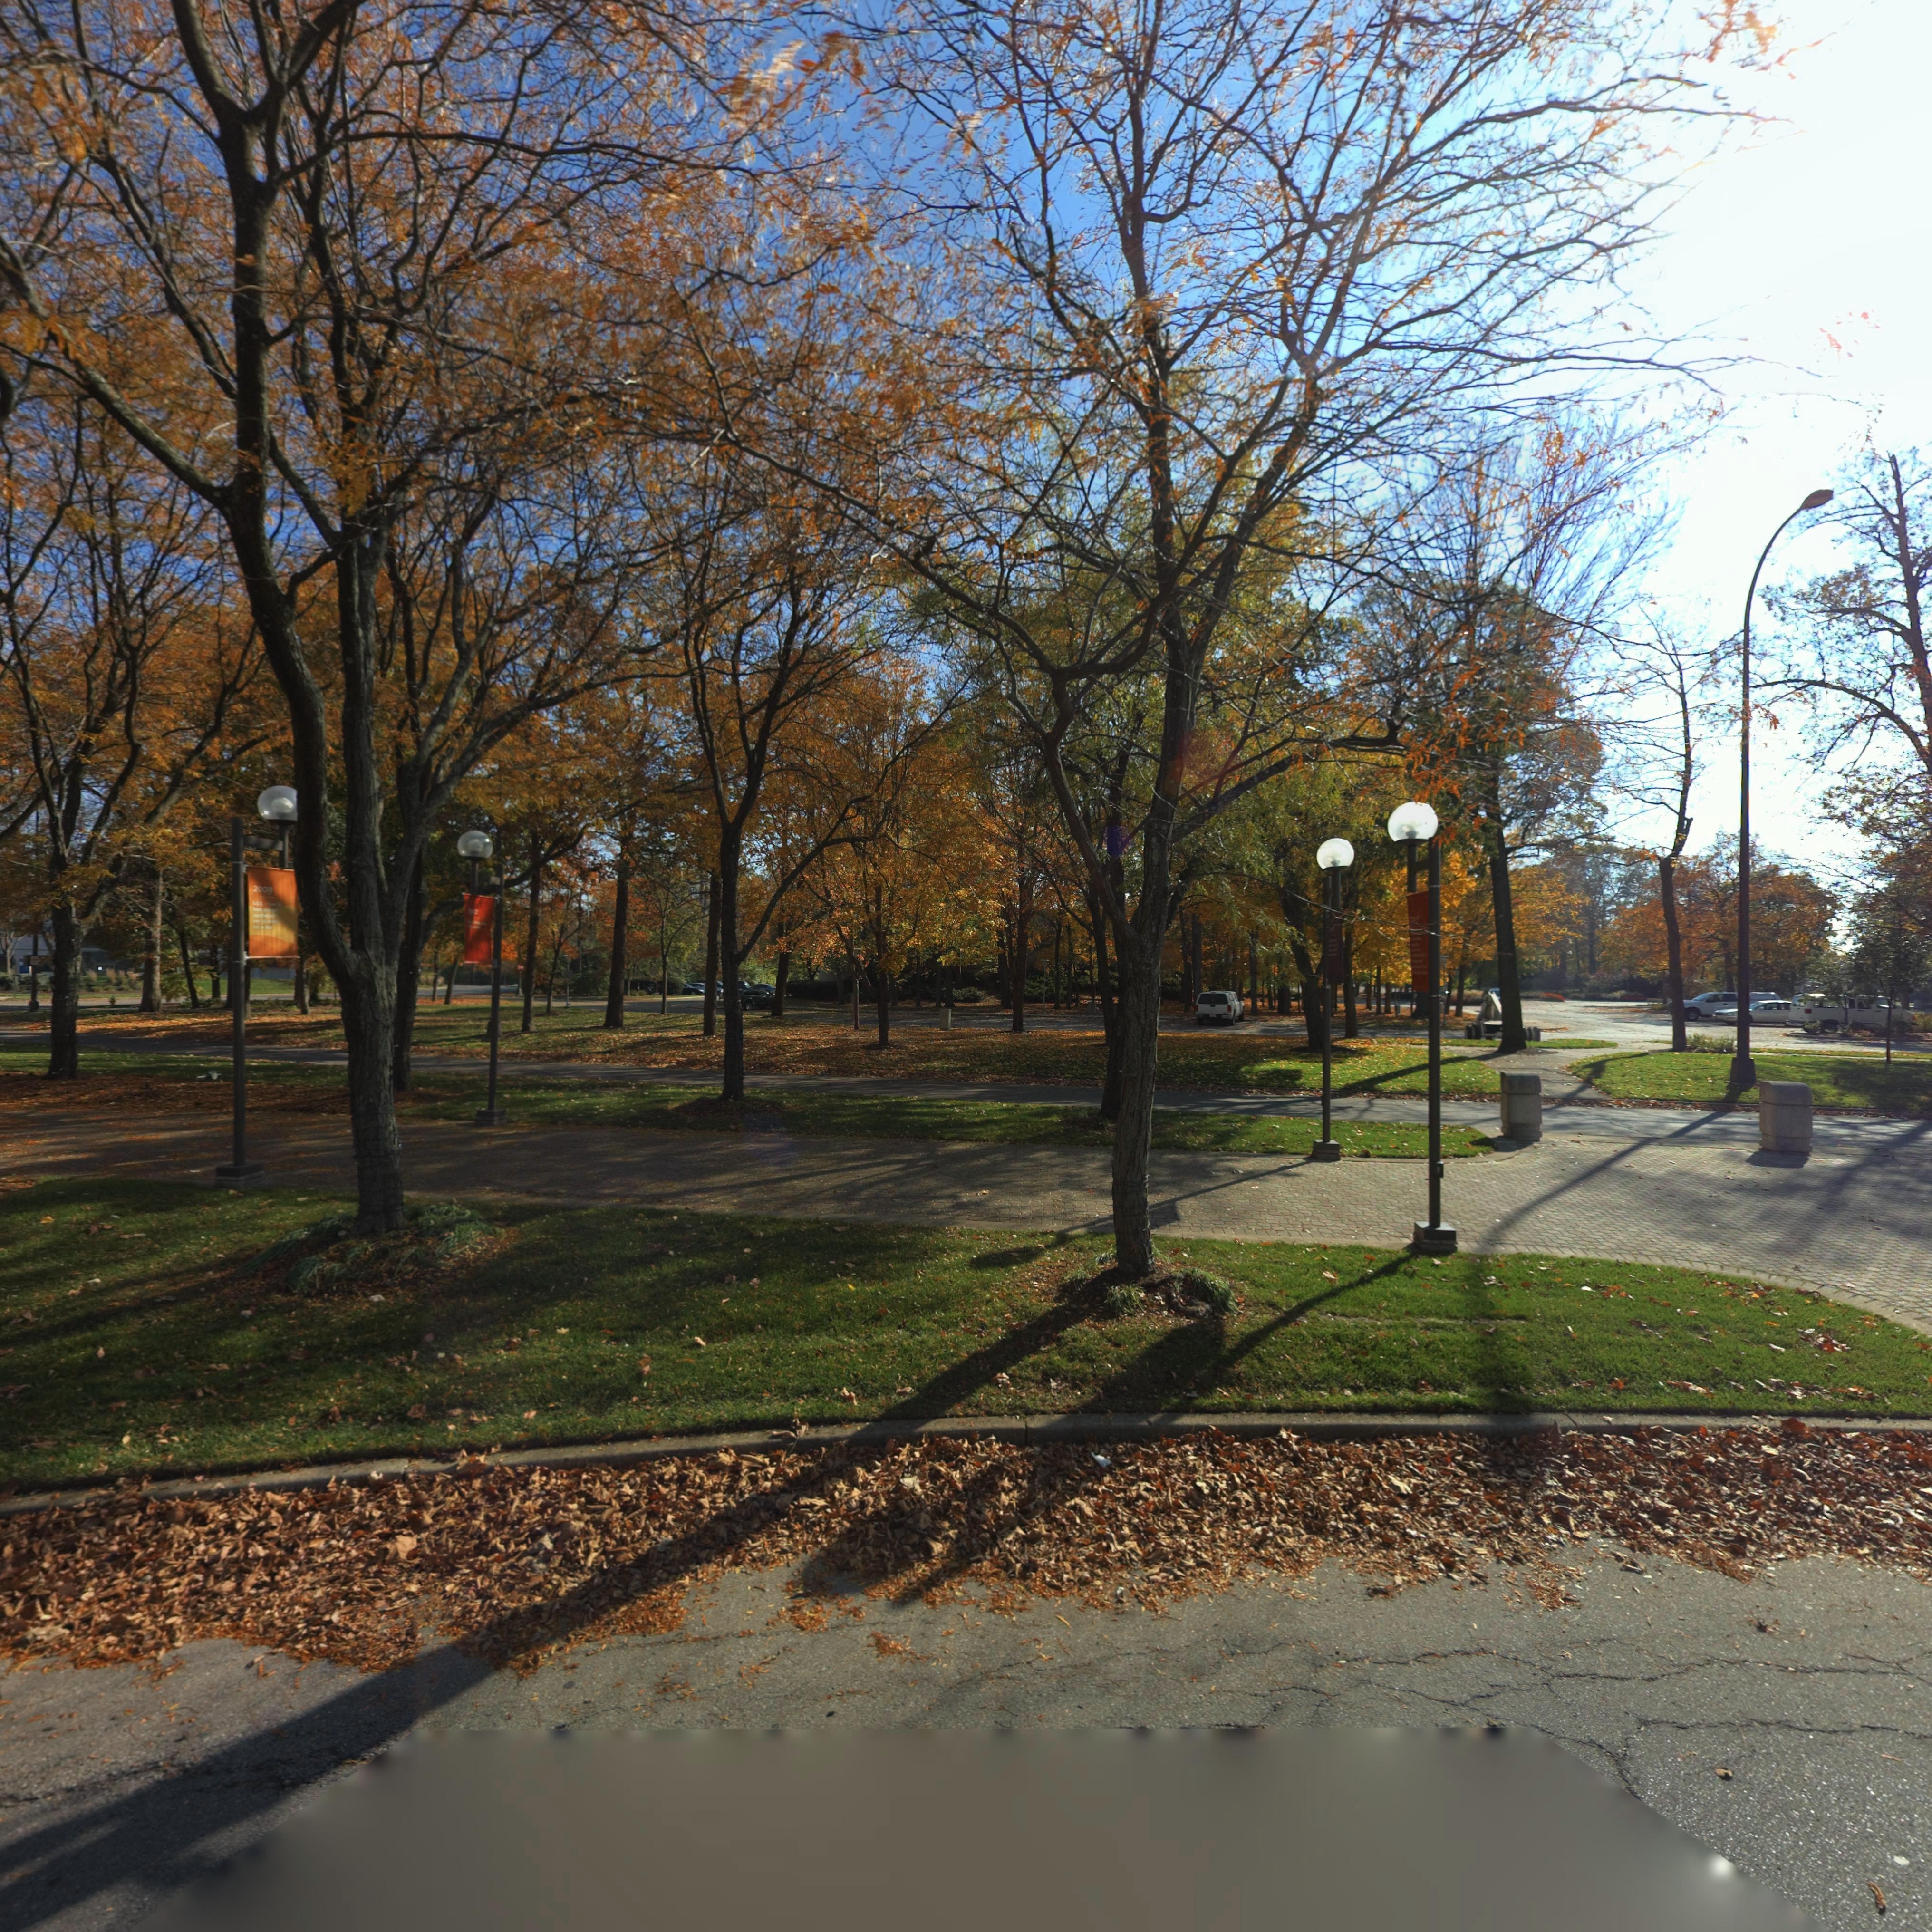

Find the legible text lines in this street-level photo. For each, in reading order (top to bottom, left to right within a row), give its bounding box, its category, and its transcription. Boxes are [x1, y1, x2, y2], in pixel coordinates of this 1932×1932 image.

[252, 885, 273, 897] None: 2009